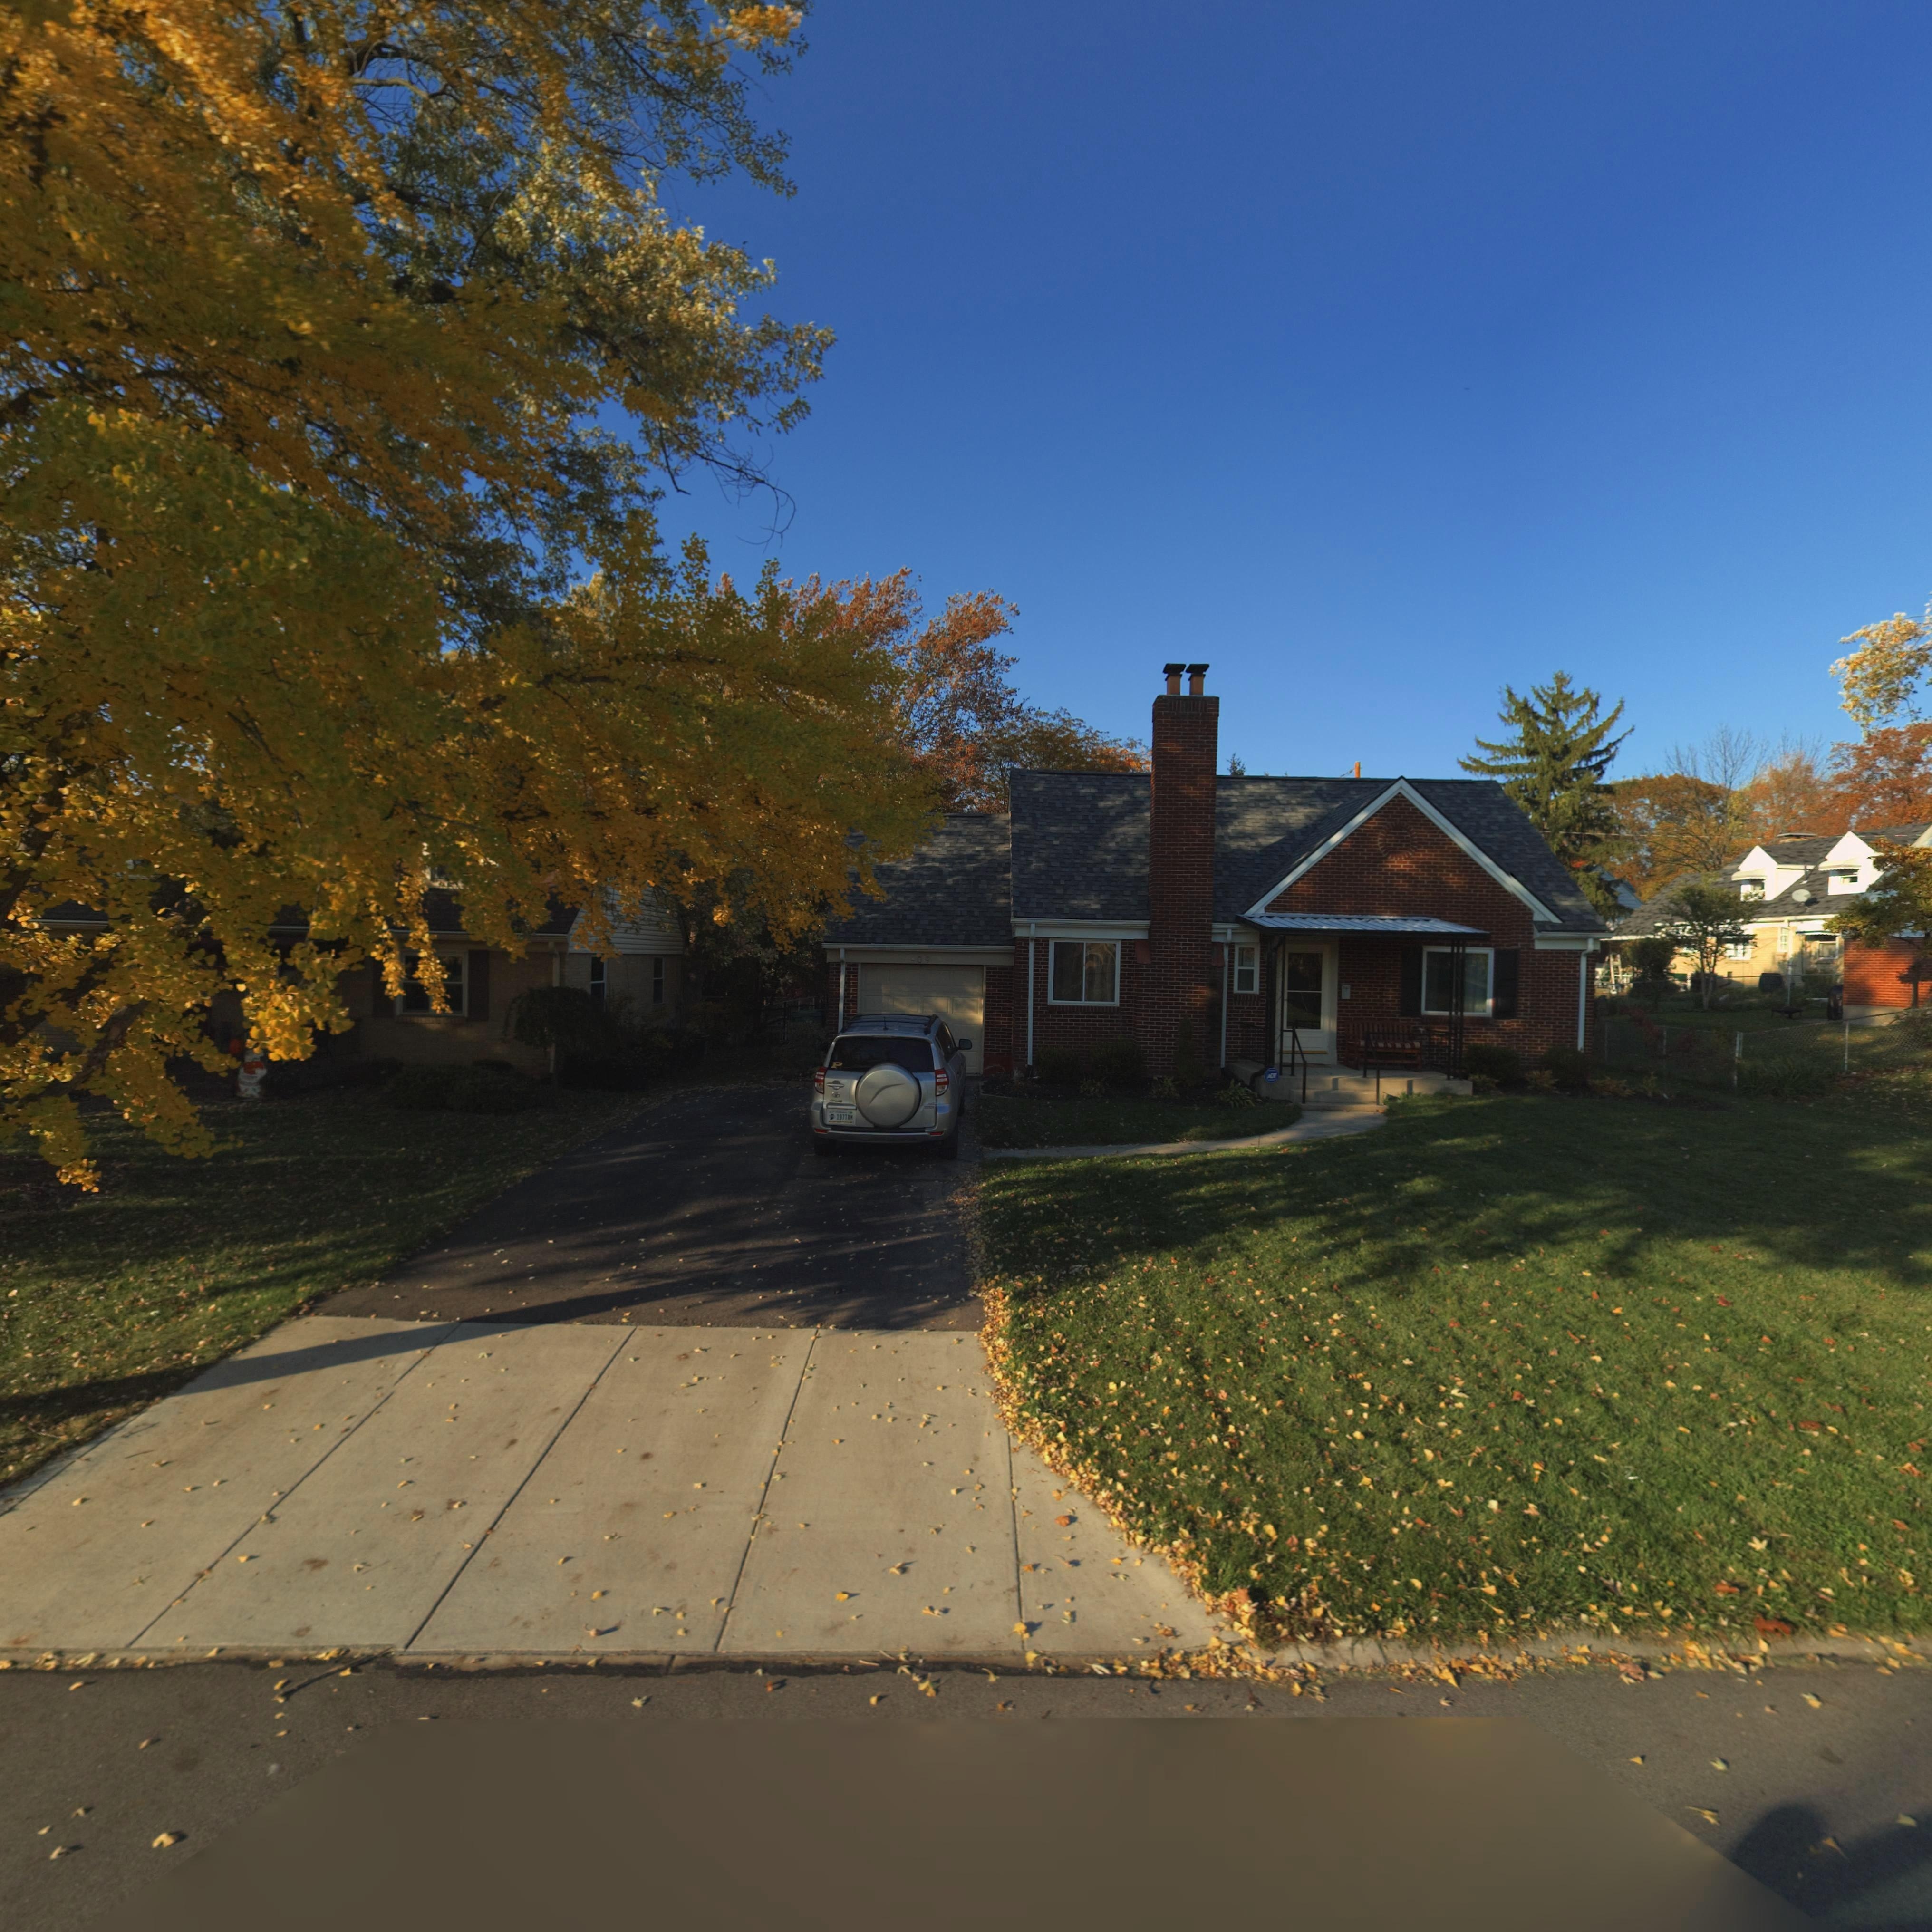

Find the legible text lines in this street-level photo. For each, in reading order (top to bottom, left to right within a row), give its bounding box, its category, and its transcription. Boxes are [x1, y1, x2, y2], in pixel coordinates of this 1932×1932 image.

[909, 955, 931, 965] StreetNumber: 409